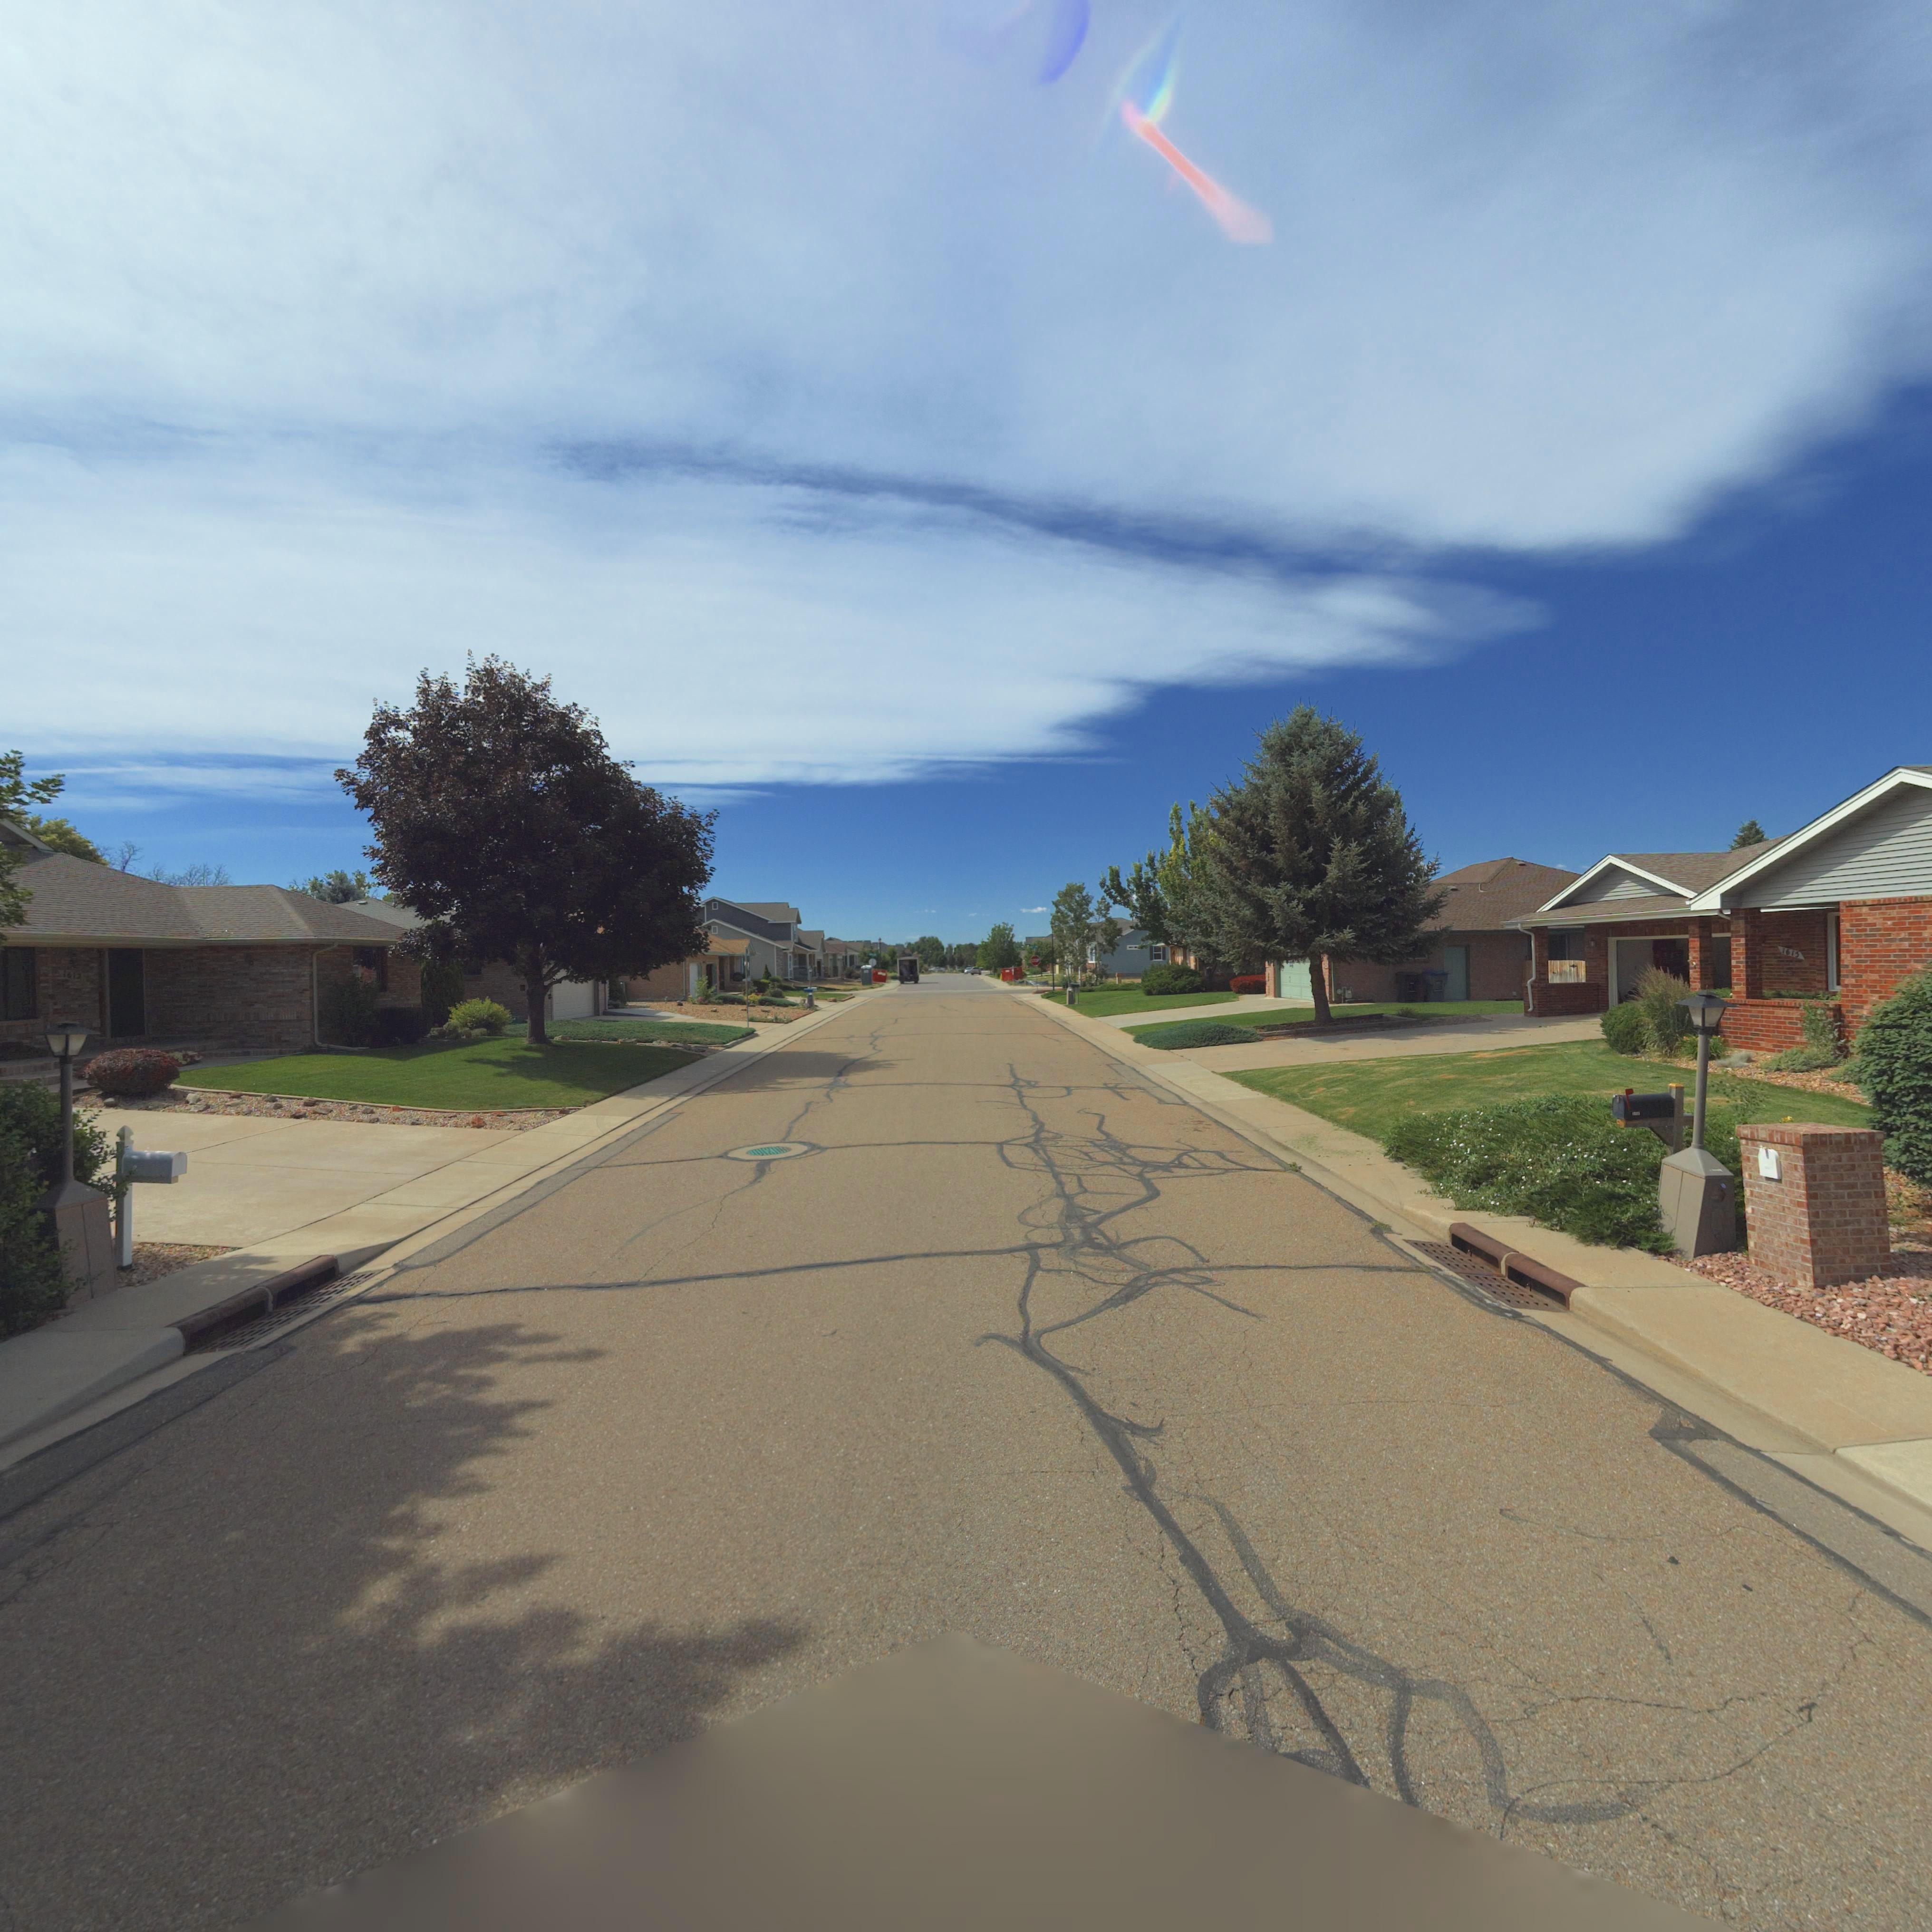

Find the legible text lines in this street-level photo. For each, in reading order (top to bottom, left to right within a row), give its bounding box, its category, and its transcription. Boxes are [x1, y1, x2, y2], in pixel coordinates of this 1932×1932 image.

[1782, 947, 1800, 958] StreetNumber: 1615
[62, 969, 82, 980] StreetNumber: 1612